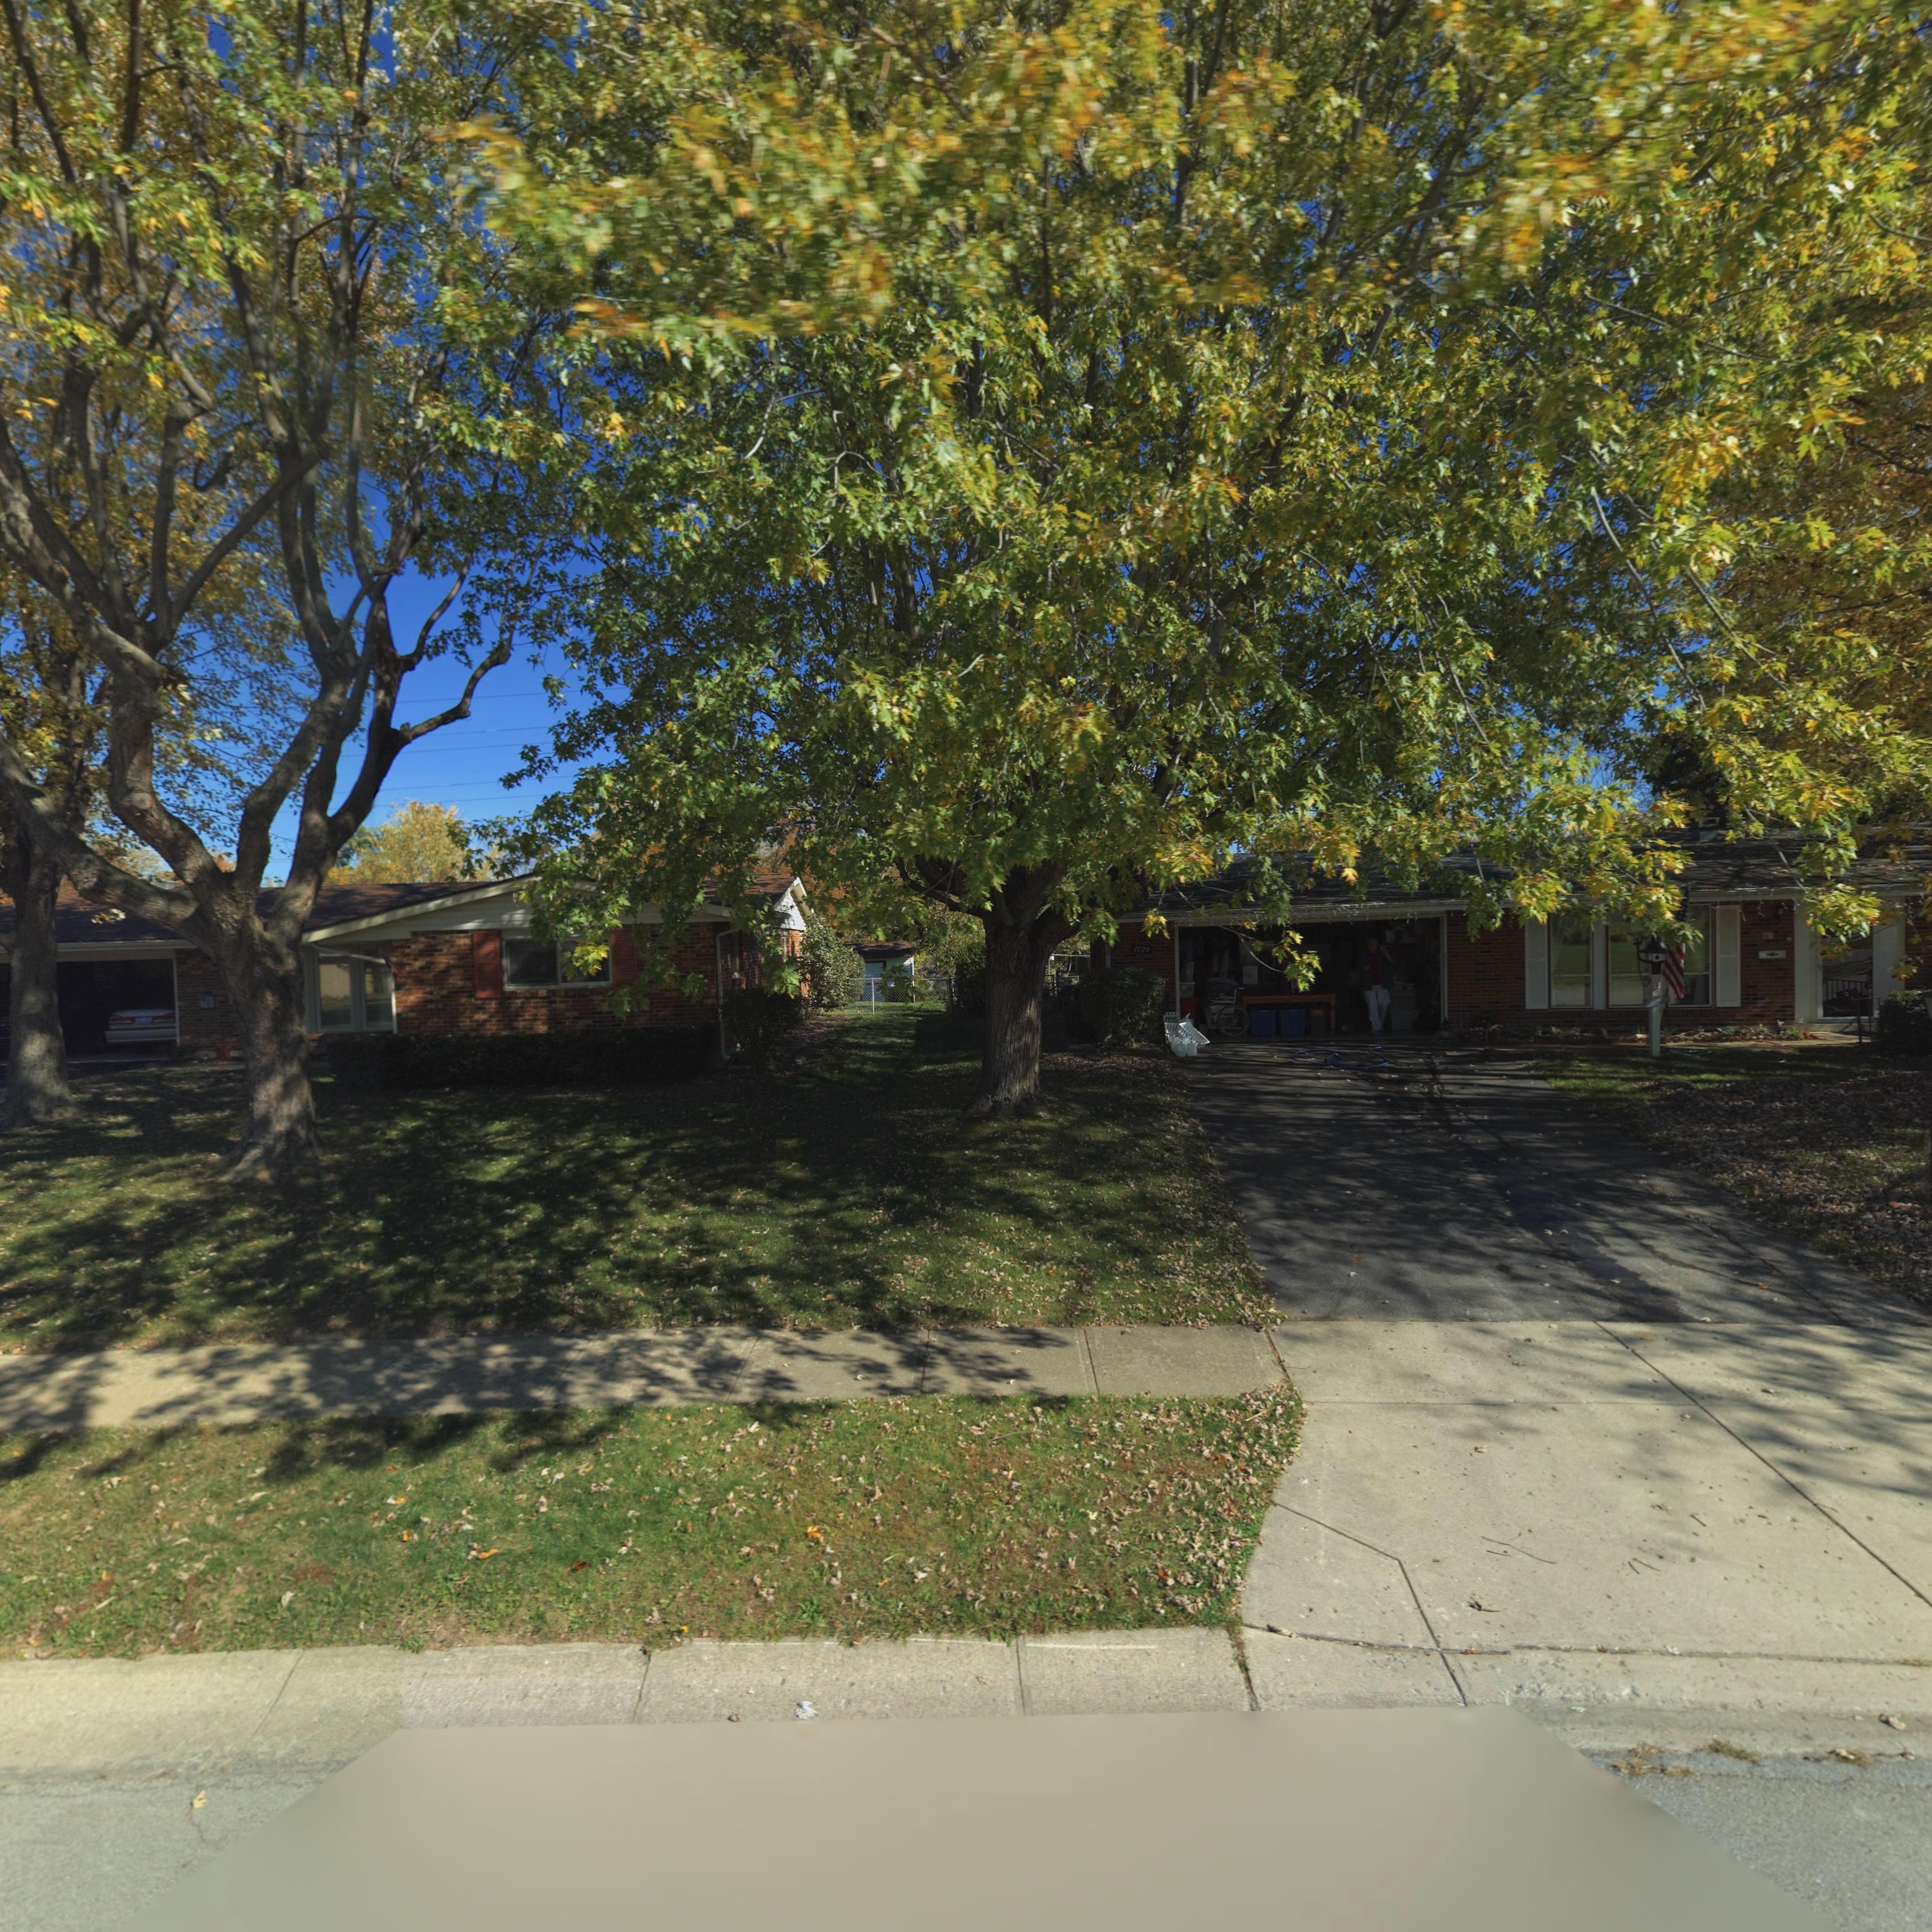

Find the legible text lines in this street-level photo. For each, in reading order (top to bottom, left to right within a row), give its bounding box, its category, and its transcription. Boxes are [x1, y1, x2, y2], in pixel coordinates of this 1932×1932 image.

[1133, 945, 1150, 954] StreetNumber: 1029